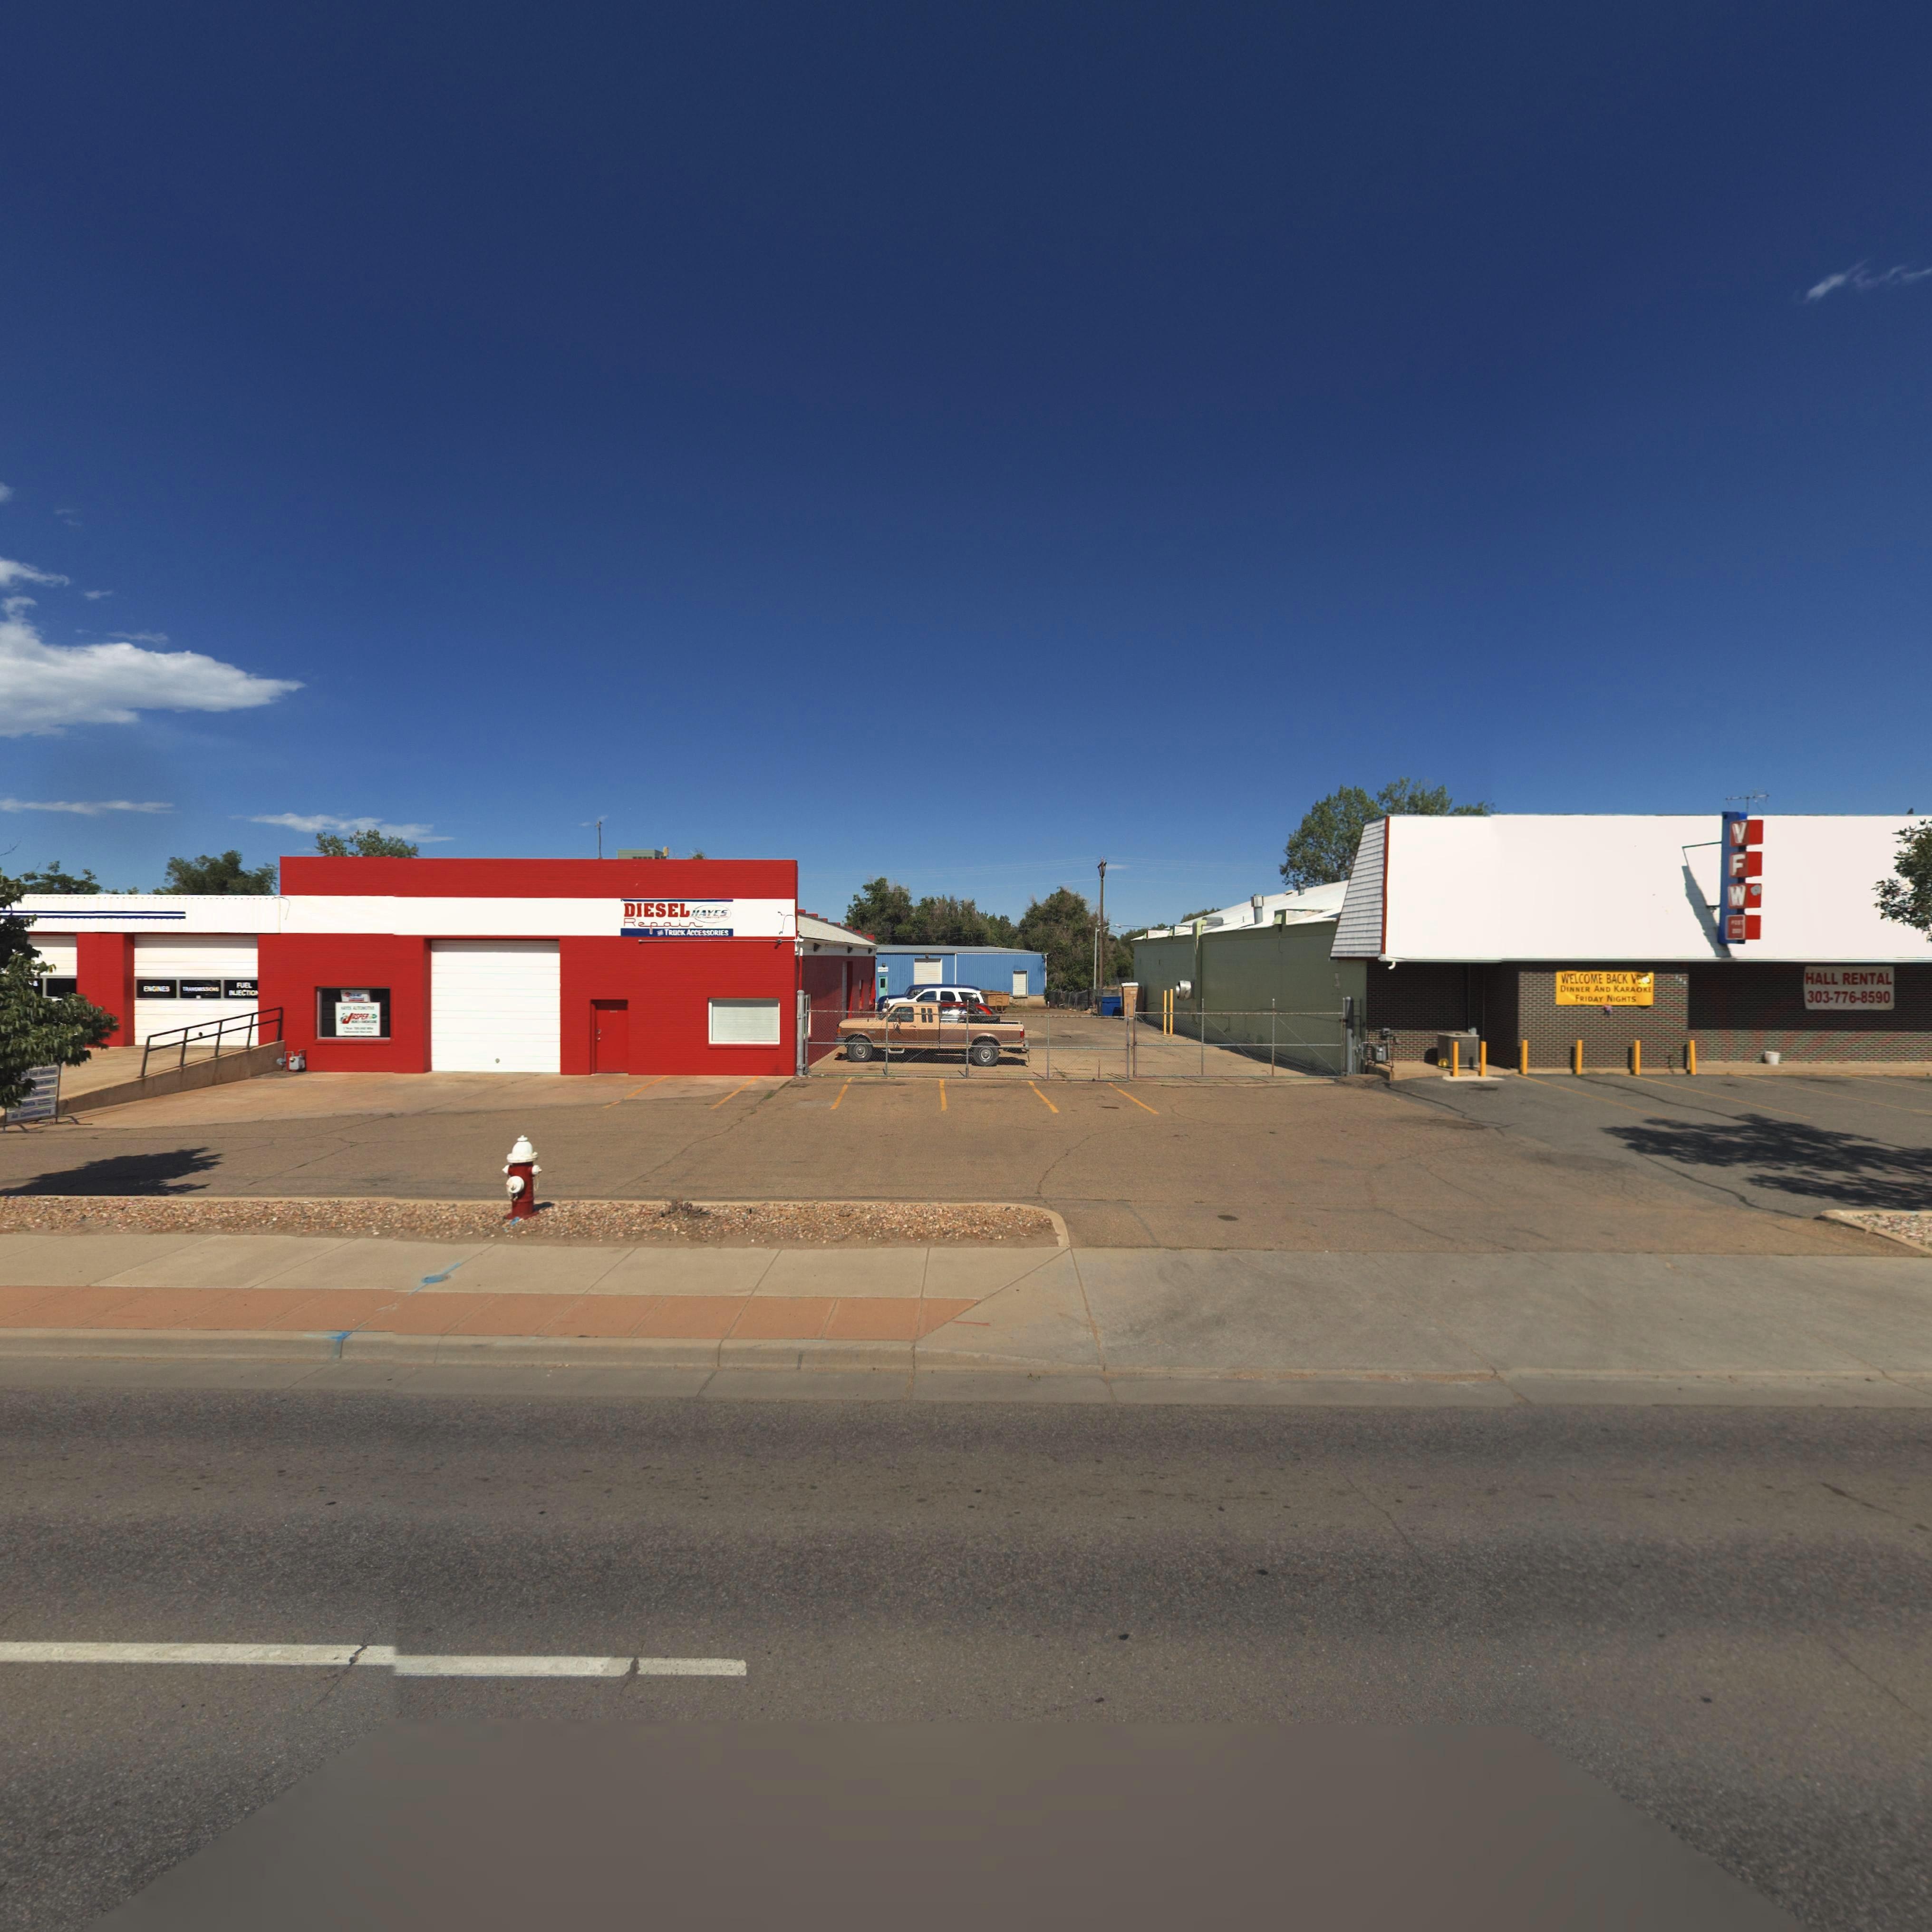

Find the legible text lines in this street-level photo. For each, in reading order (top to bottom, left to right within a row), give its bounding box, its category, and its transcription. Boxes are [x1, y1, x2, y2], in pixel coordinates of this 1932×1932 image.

[1726, 820, 1748, 908] BusinessName: VFW
[690, 909, 728, 916] BusinessName: HAYES